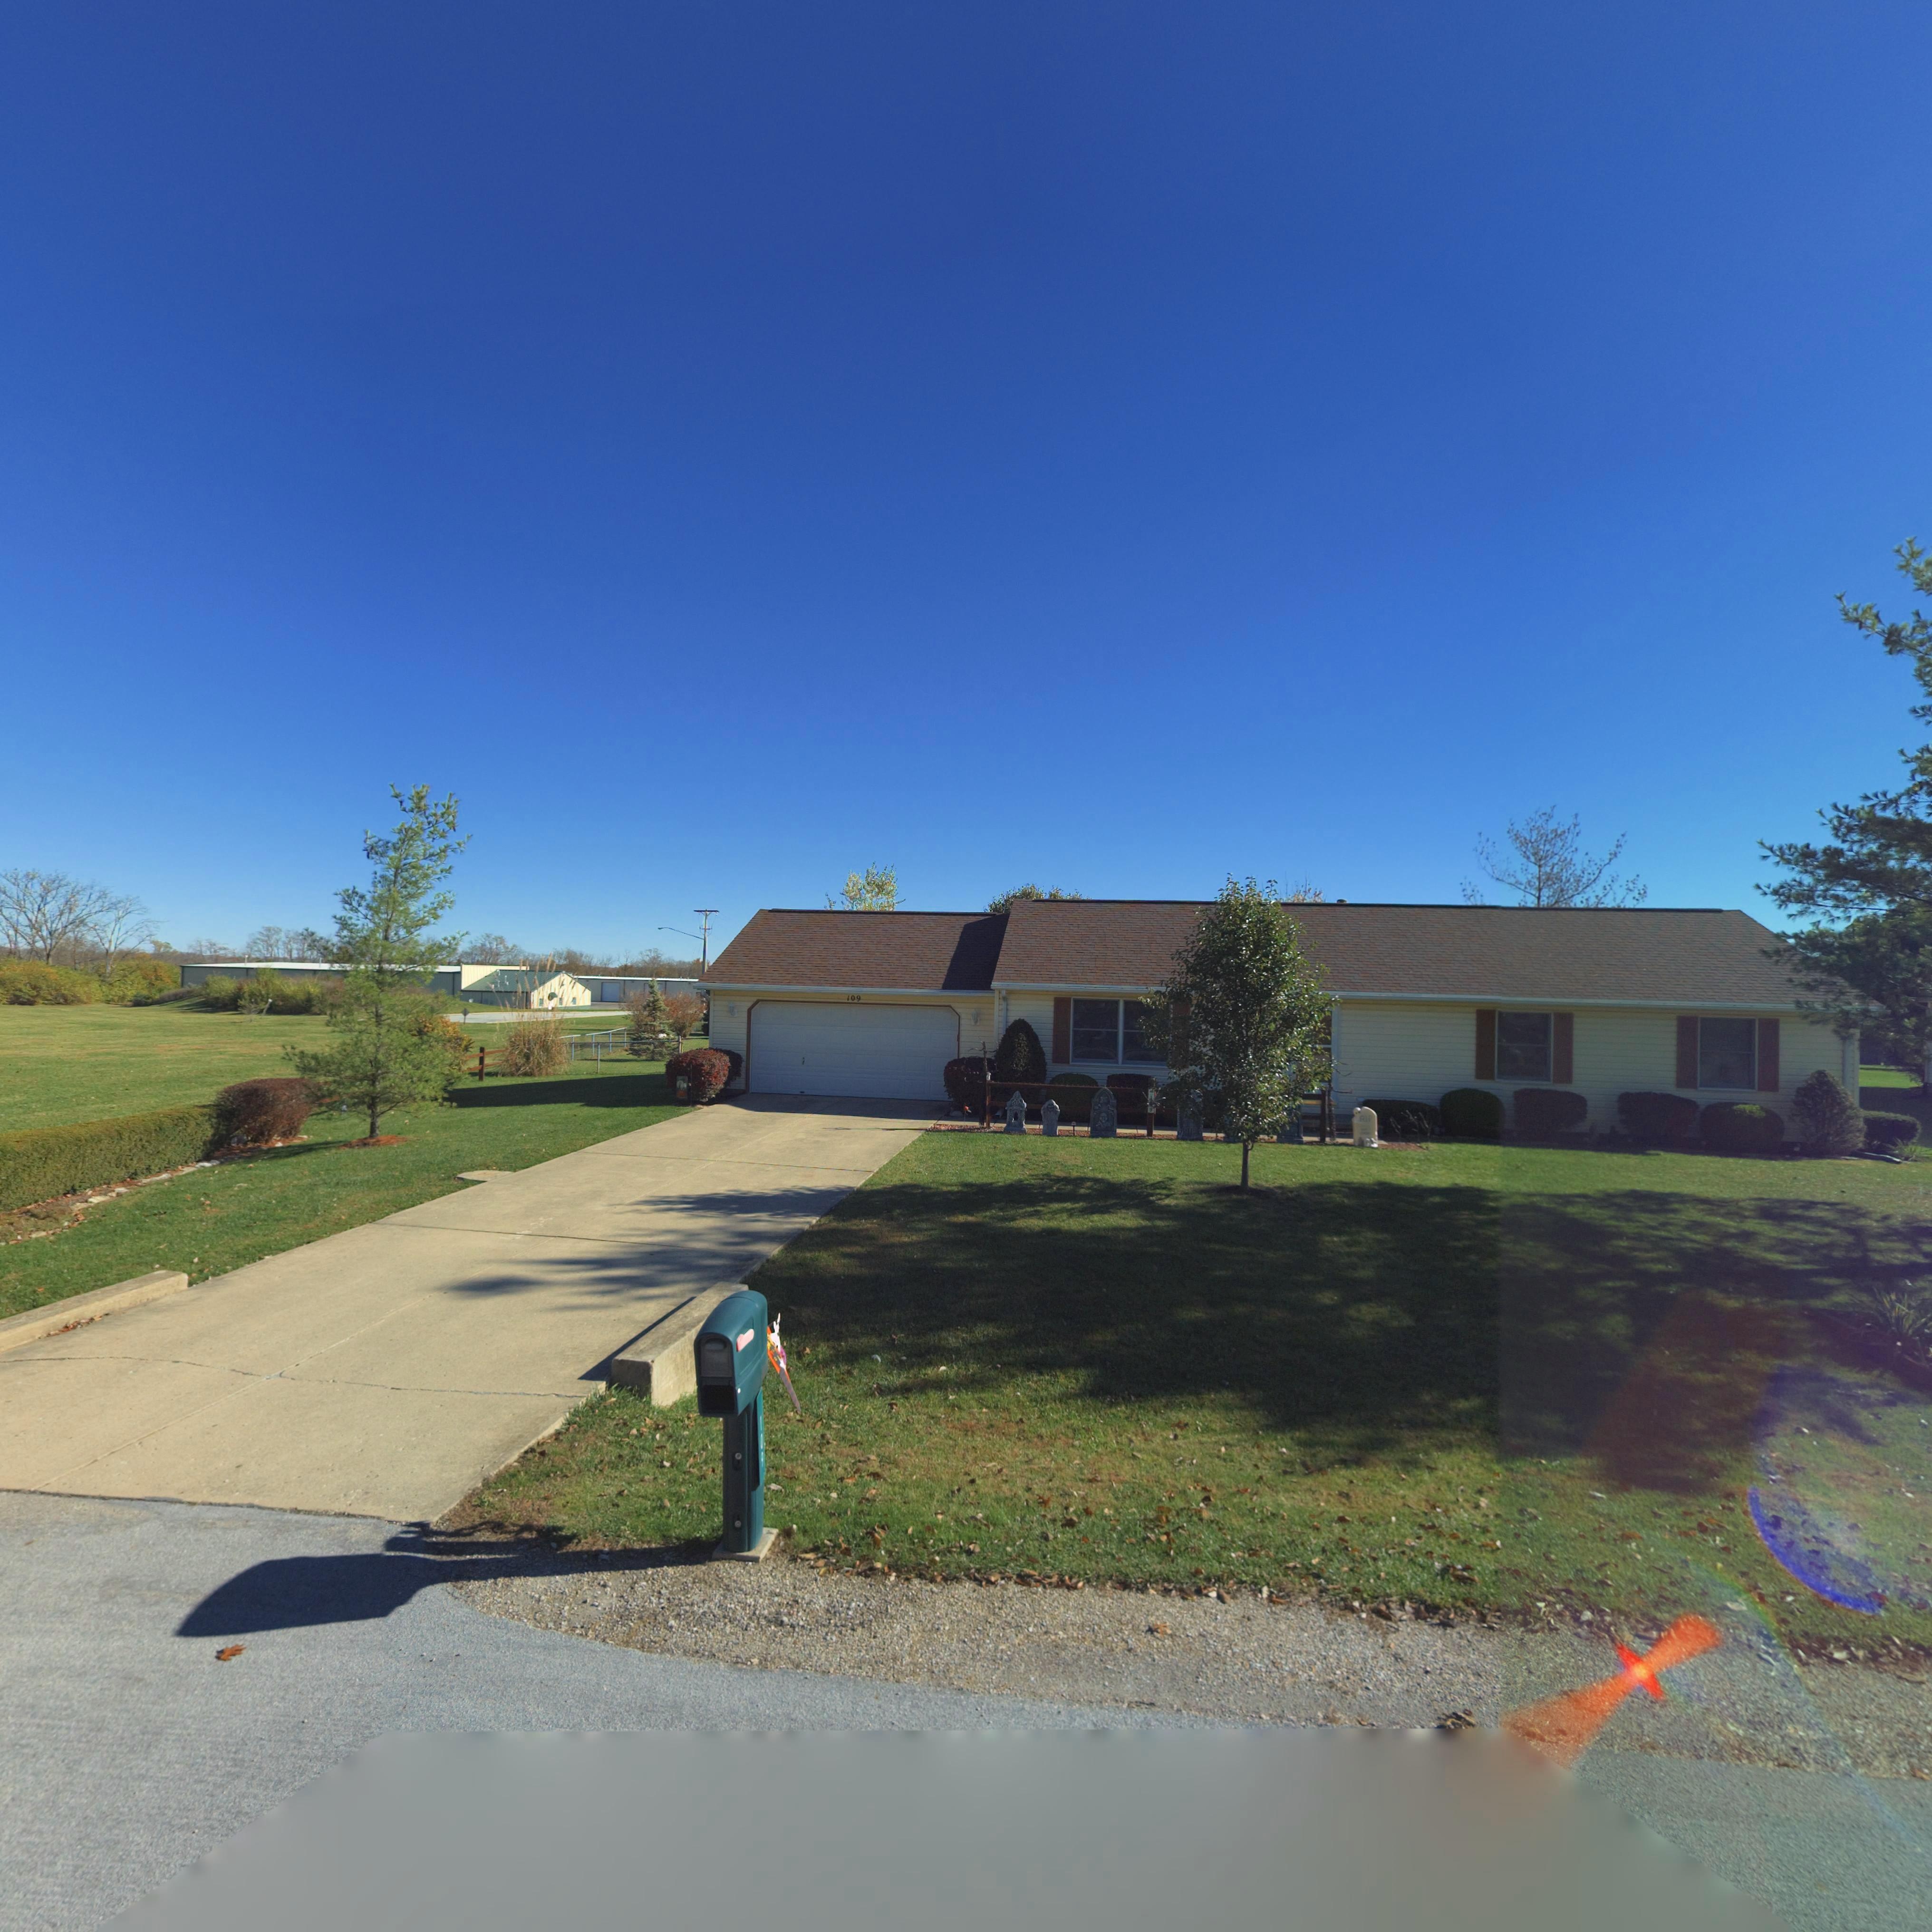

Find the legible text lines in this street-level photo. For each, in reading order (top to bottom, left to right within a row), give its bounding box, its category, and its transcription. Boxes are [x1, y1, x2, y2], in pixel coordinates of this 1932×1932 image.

[846, 994, 860, 1002] StreetNumber: 109
[758, 1413, 766, 1468] StreetNumber: 109